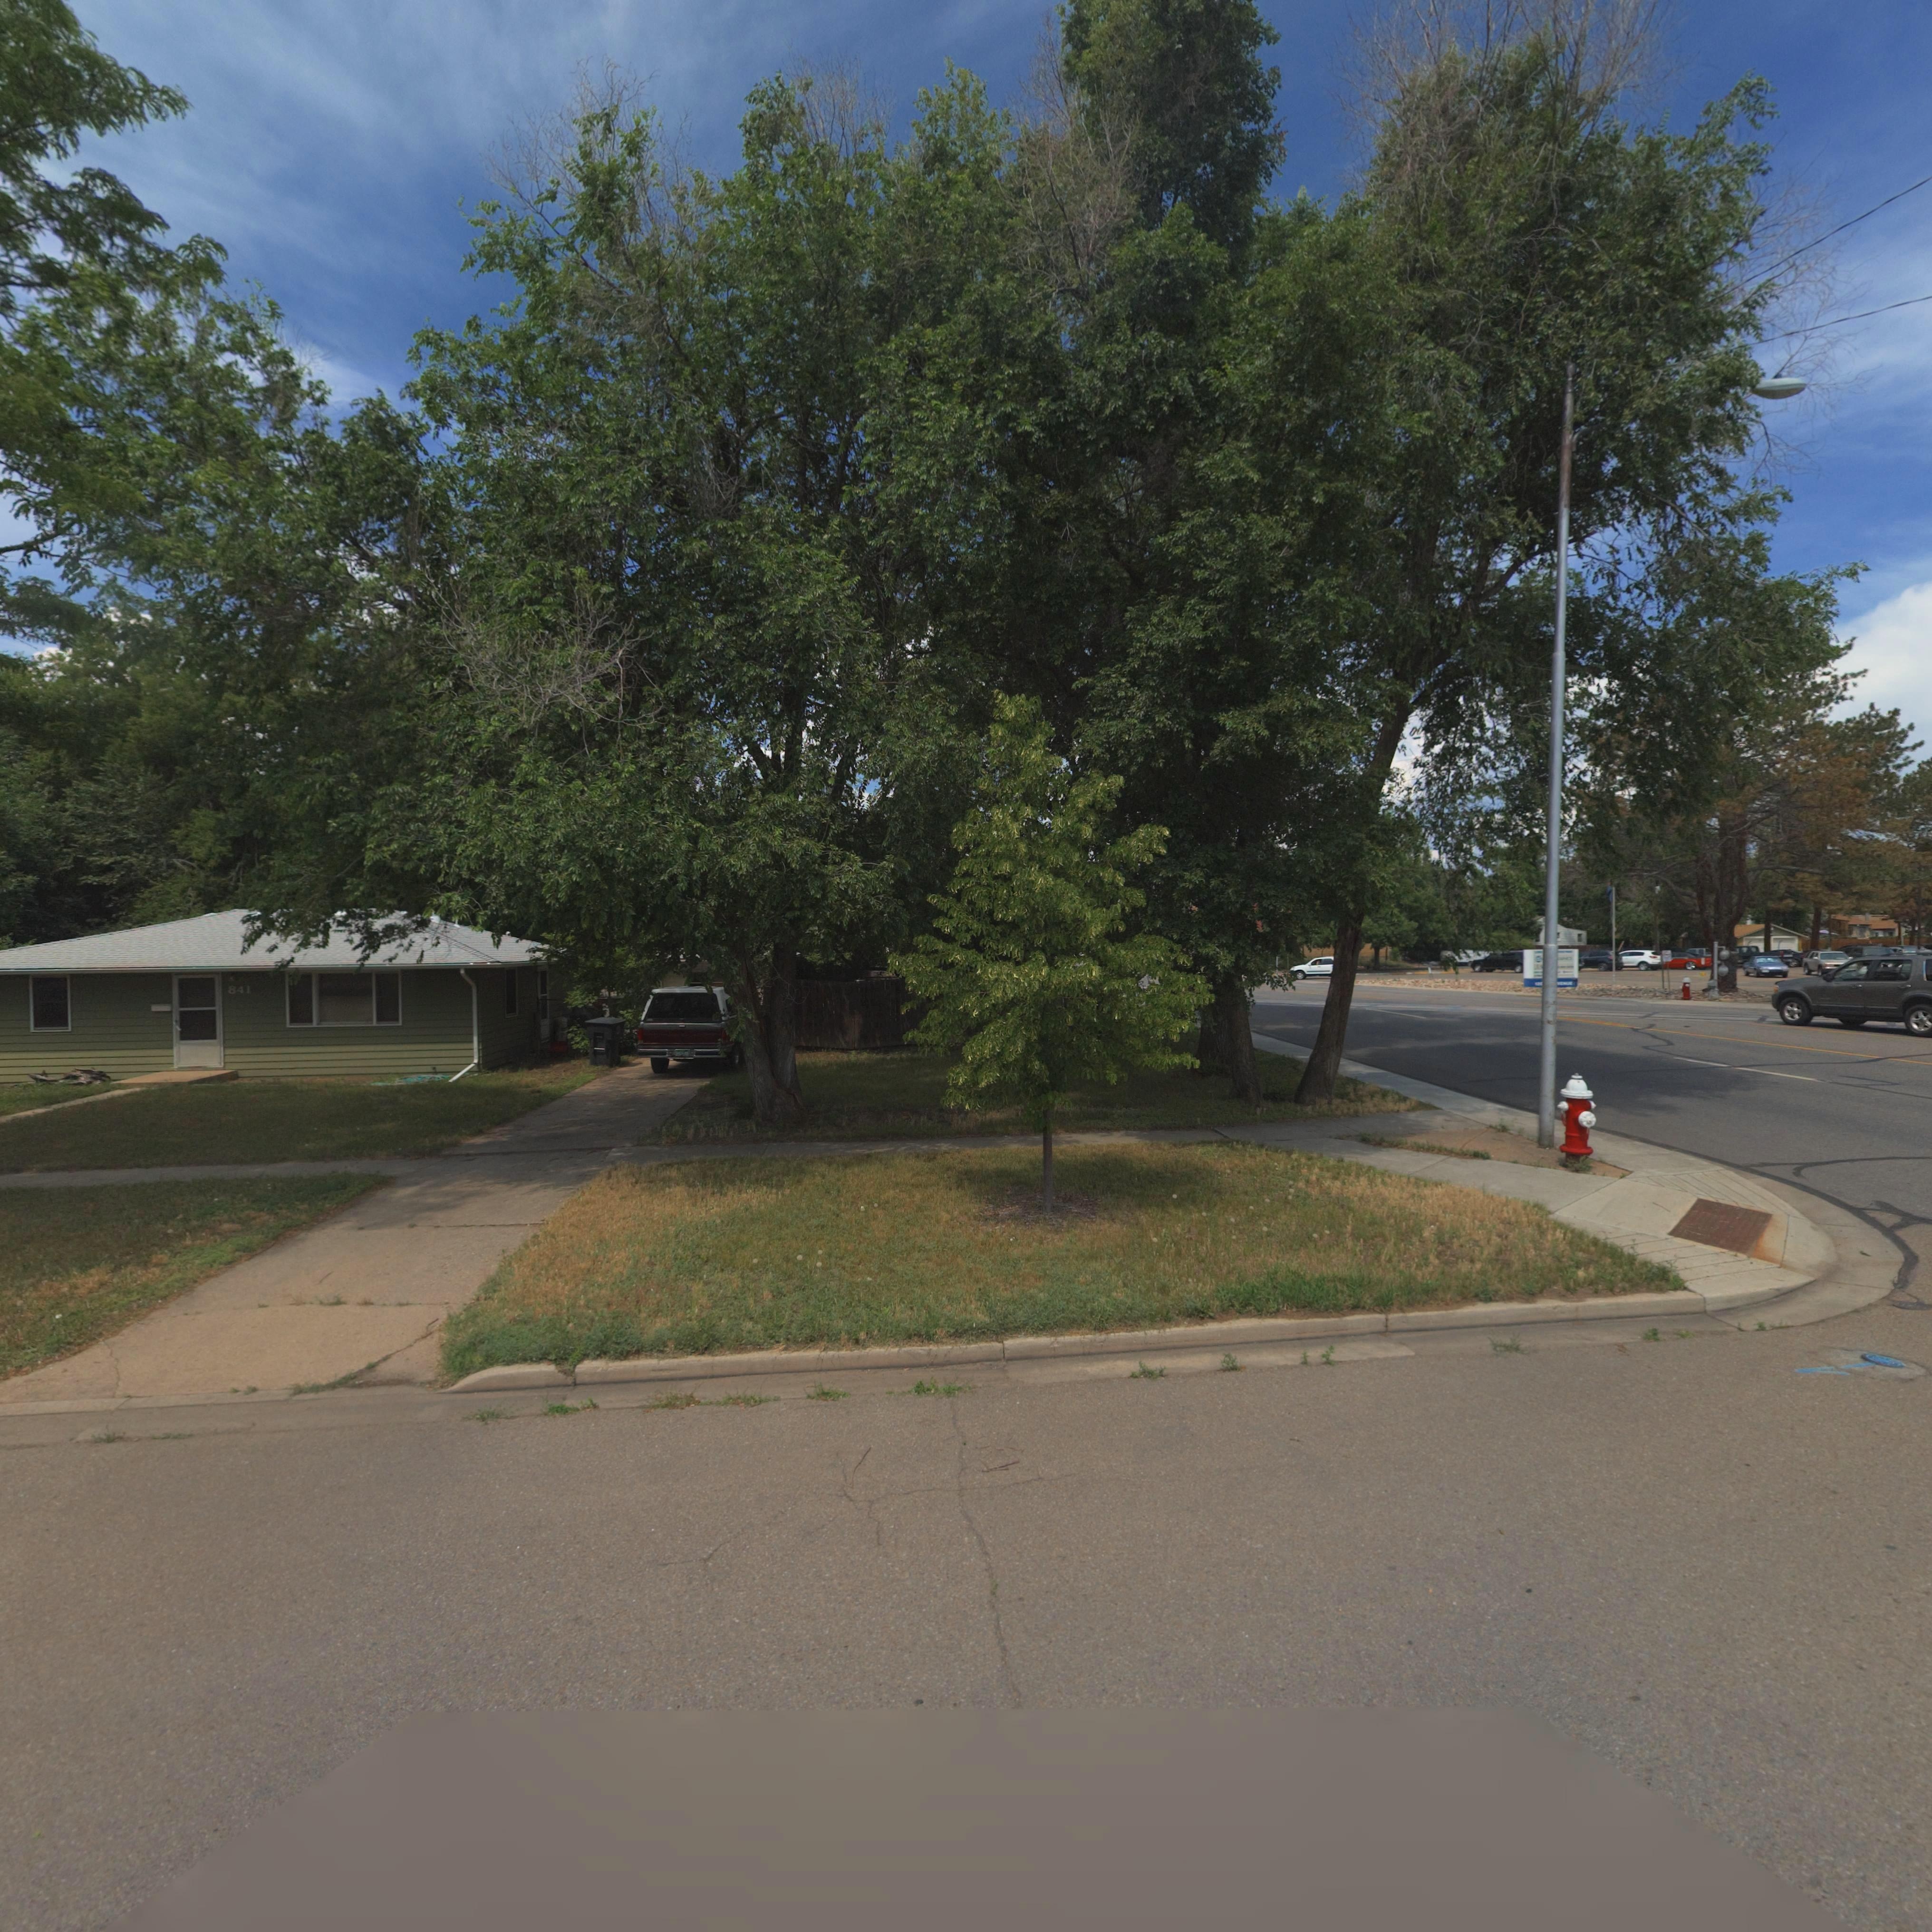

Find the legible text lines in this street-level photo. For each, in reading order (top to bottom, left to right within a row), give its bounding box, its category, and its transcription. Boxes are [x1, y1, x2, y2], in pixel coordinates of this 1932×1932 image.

[228, 985, 250, 994] StreetNumber: 841